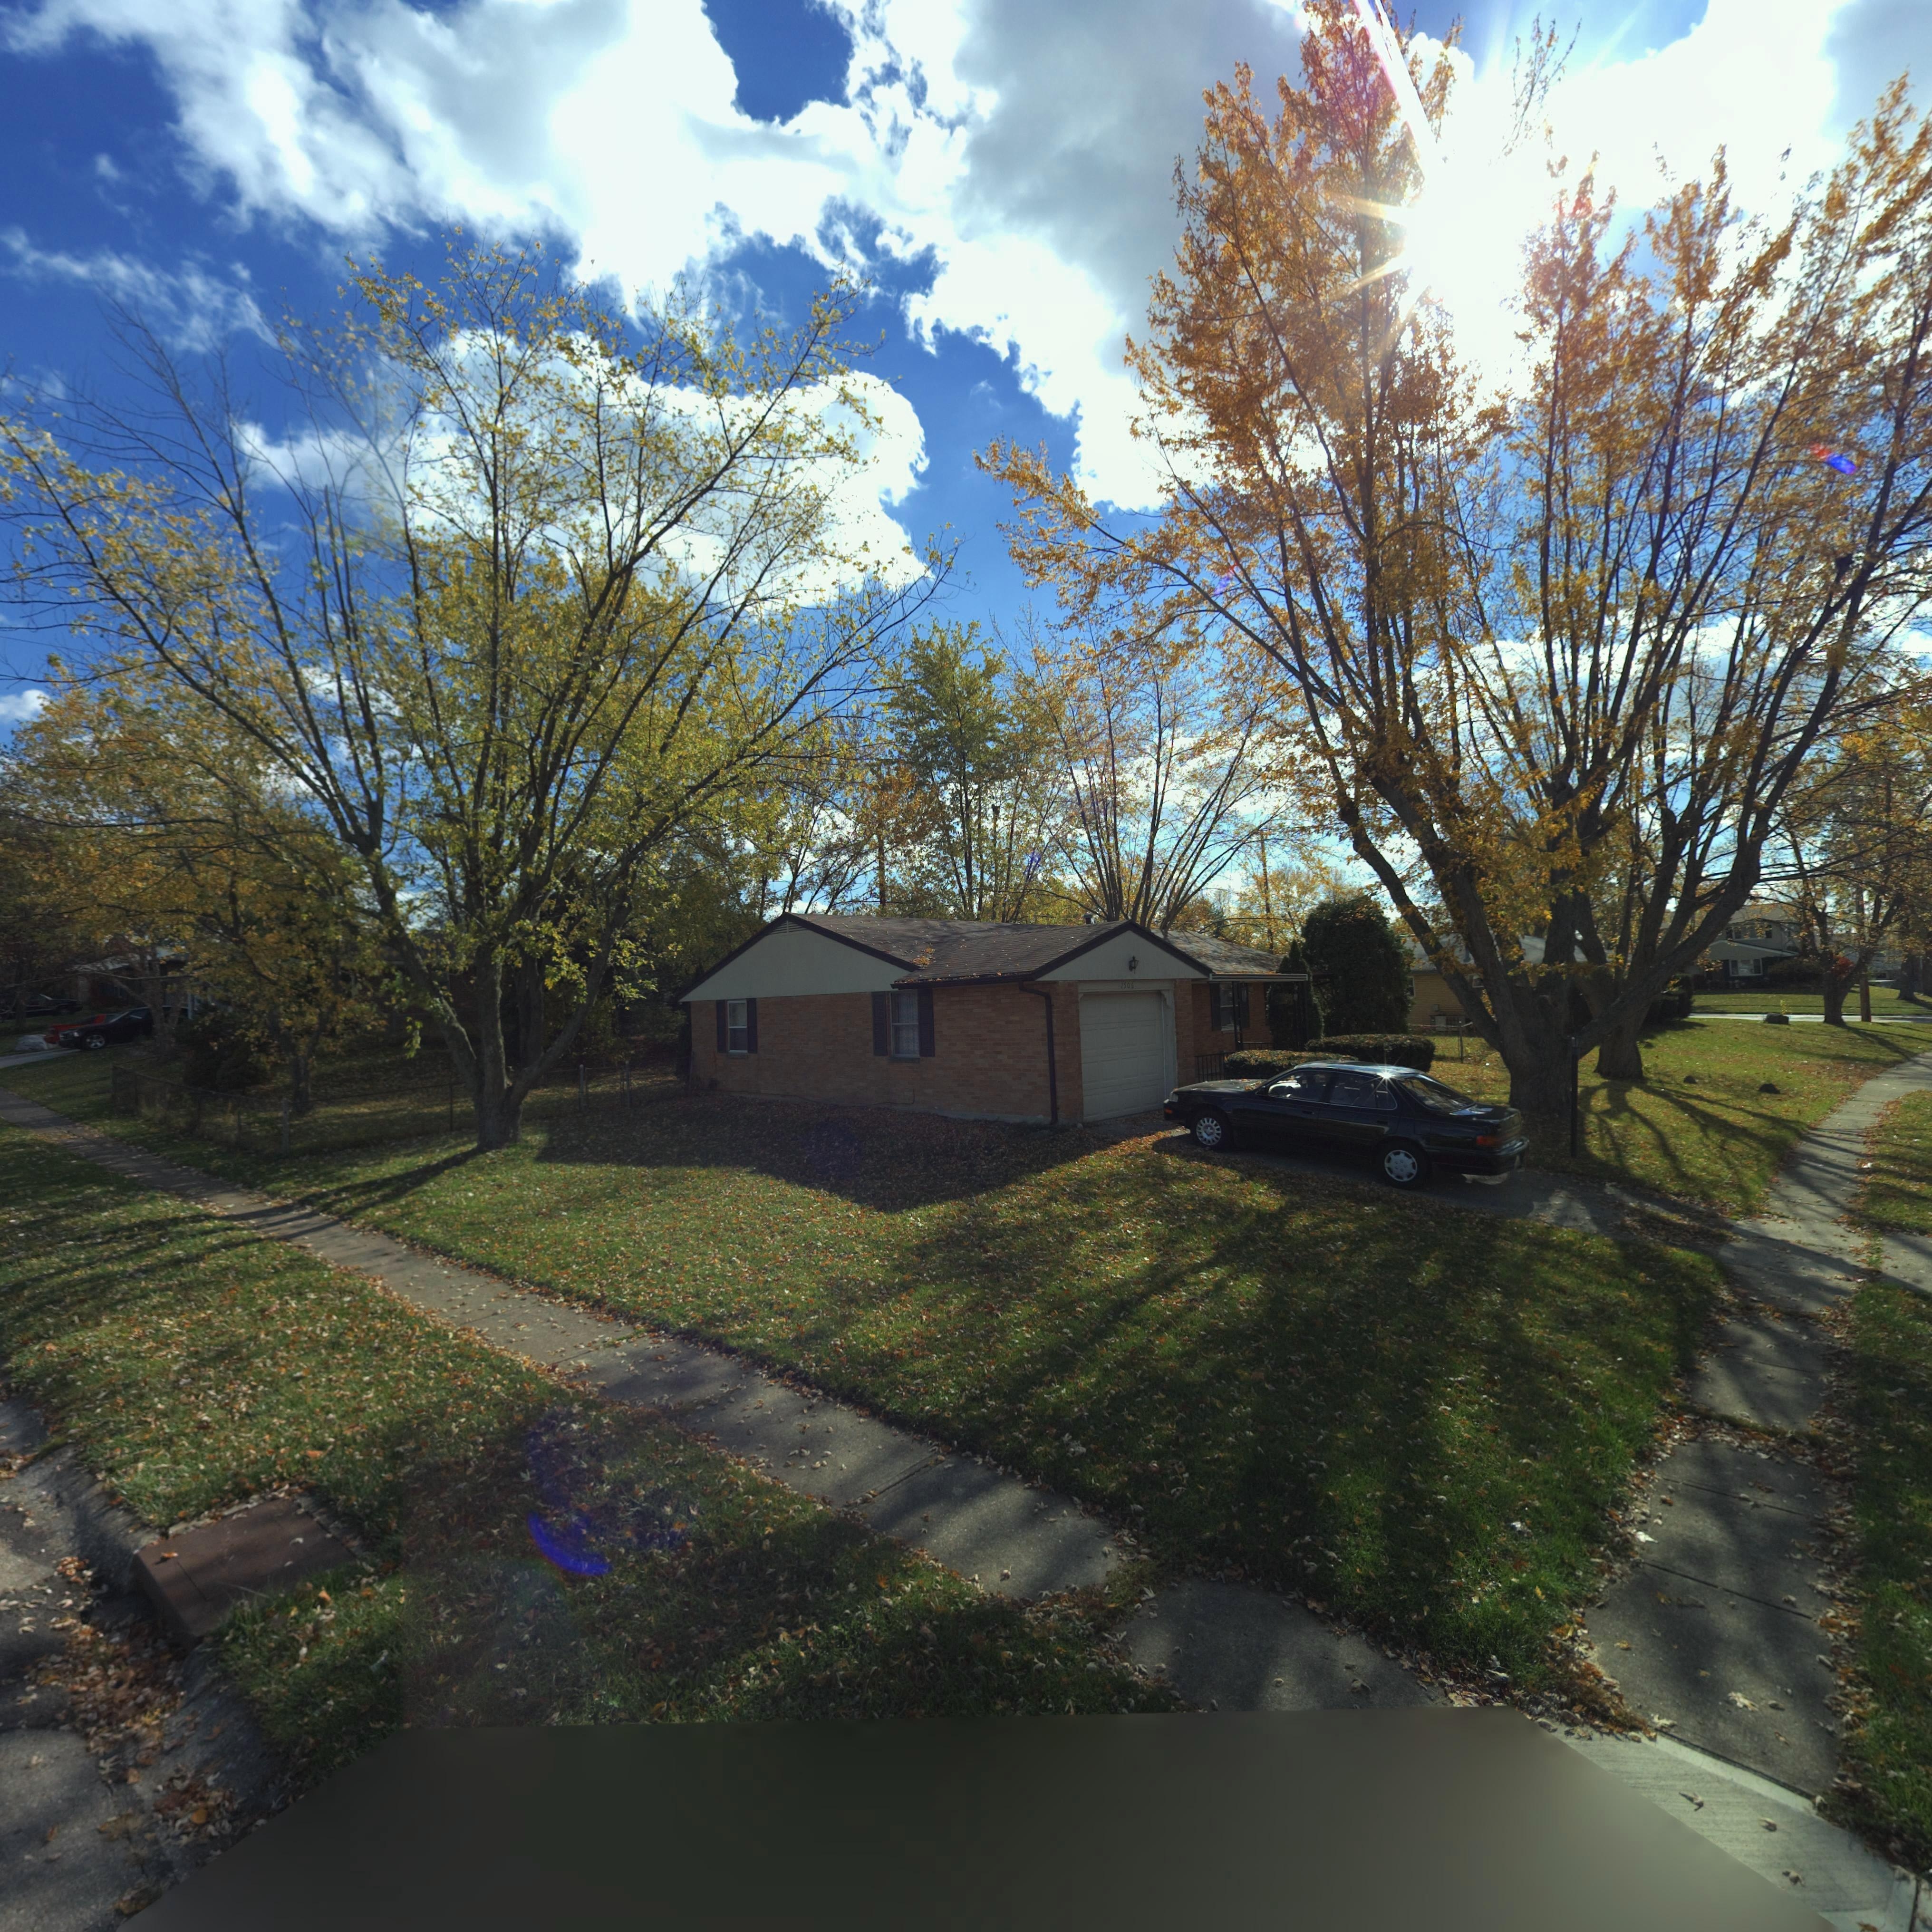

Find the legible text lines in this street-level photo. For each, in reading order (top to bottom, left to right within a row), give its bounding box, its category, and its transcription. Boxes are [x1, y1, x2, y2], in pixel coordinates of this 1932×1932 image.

[1121, 981, 1134, 989] StreetNumber: 7506